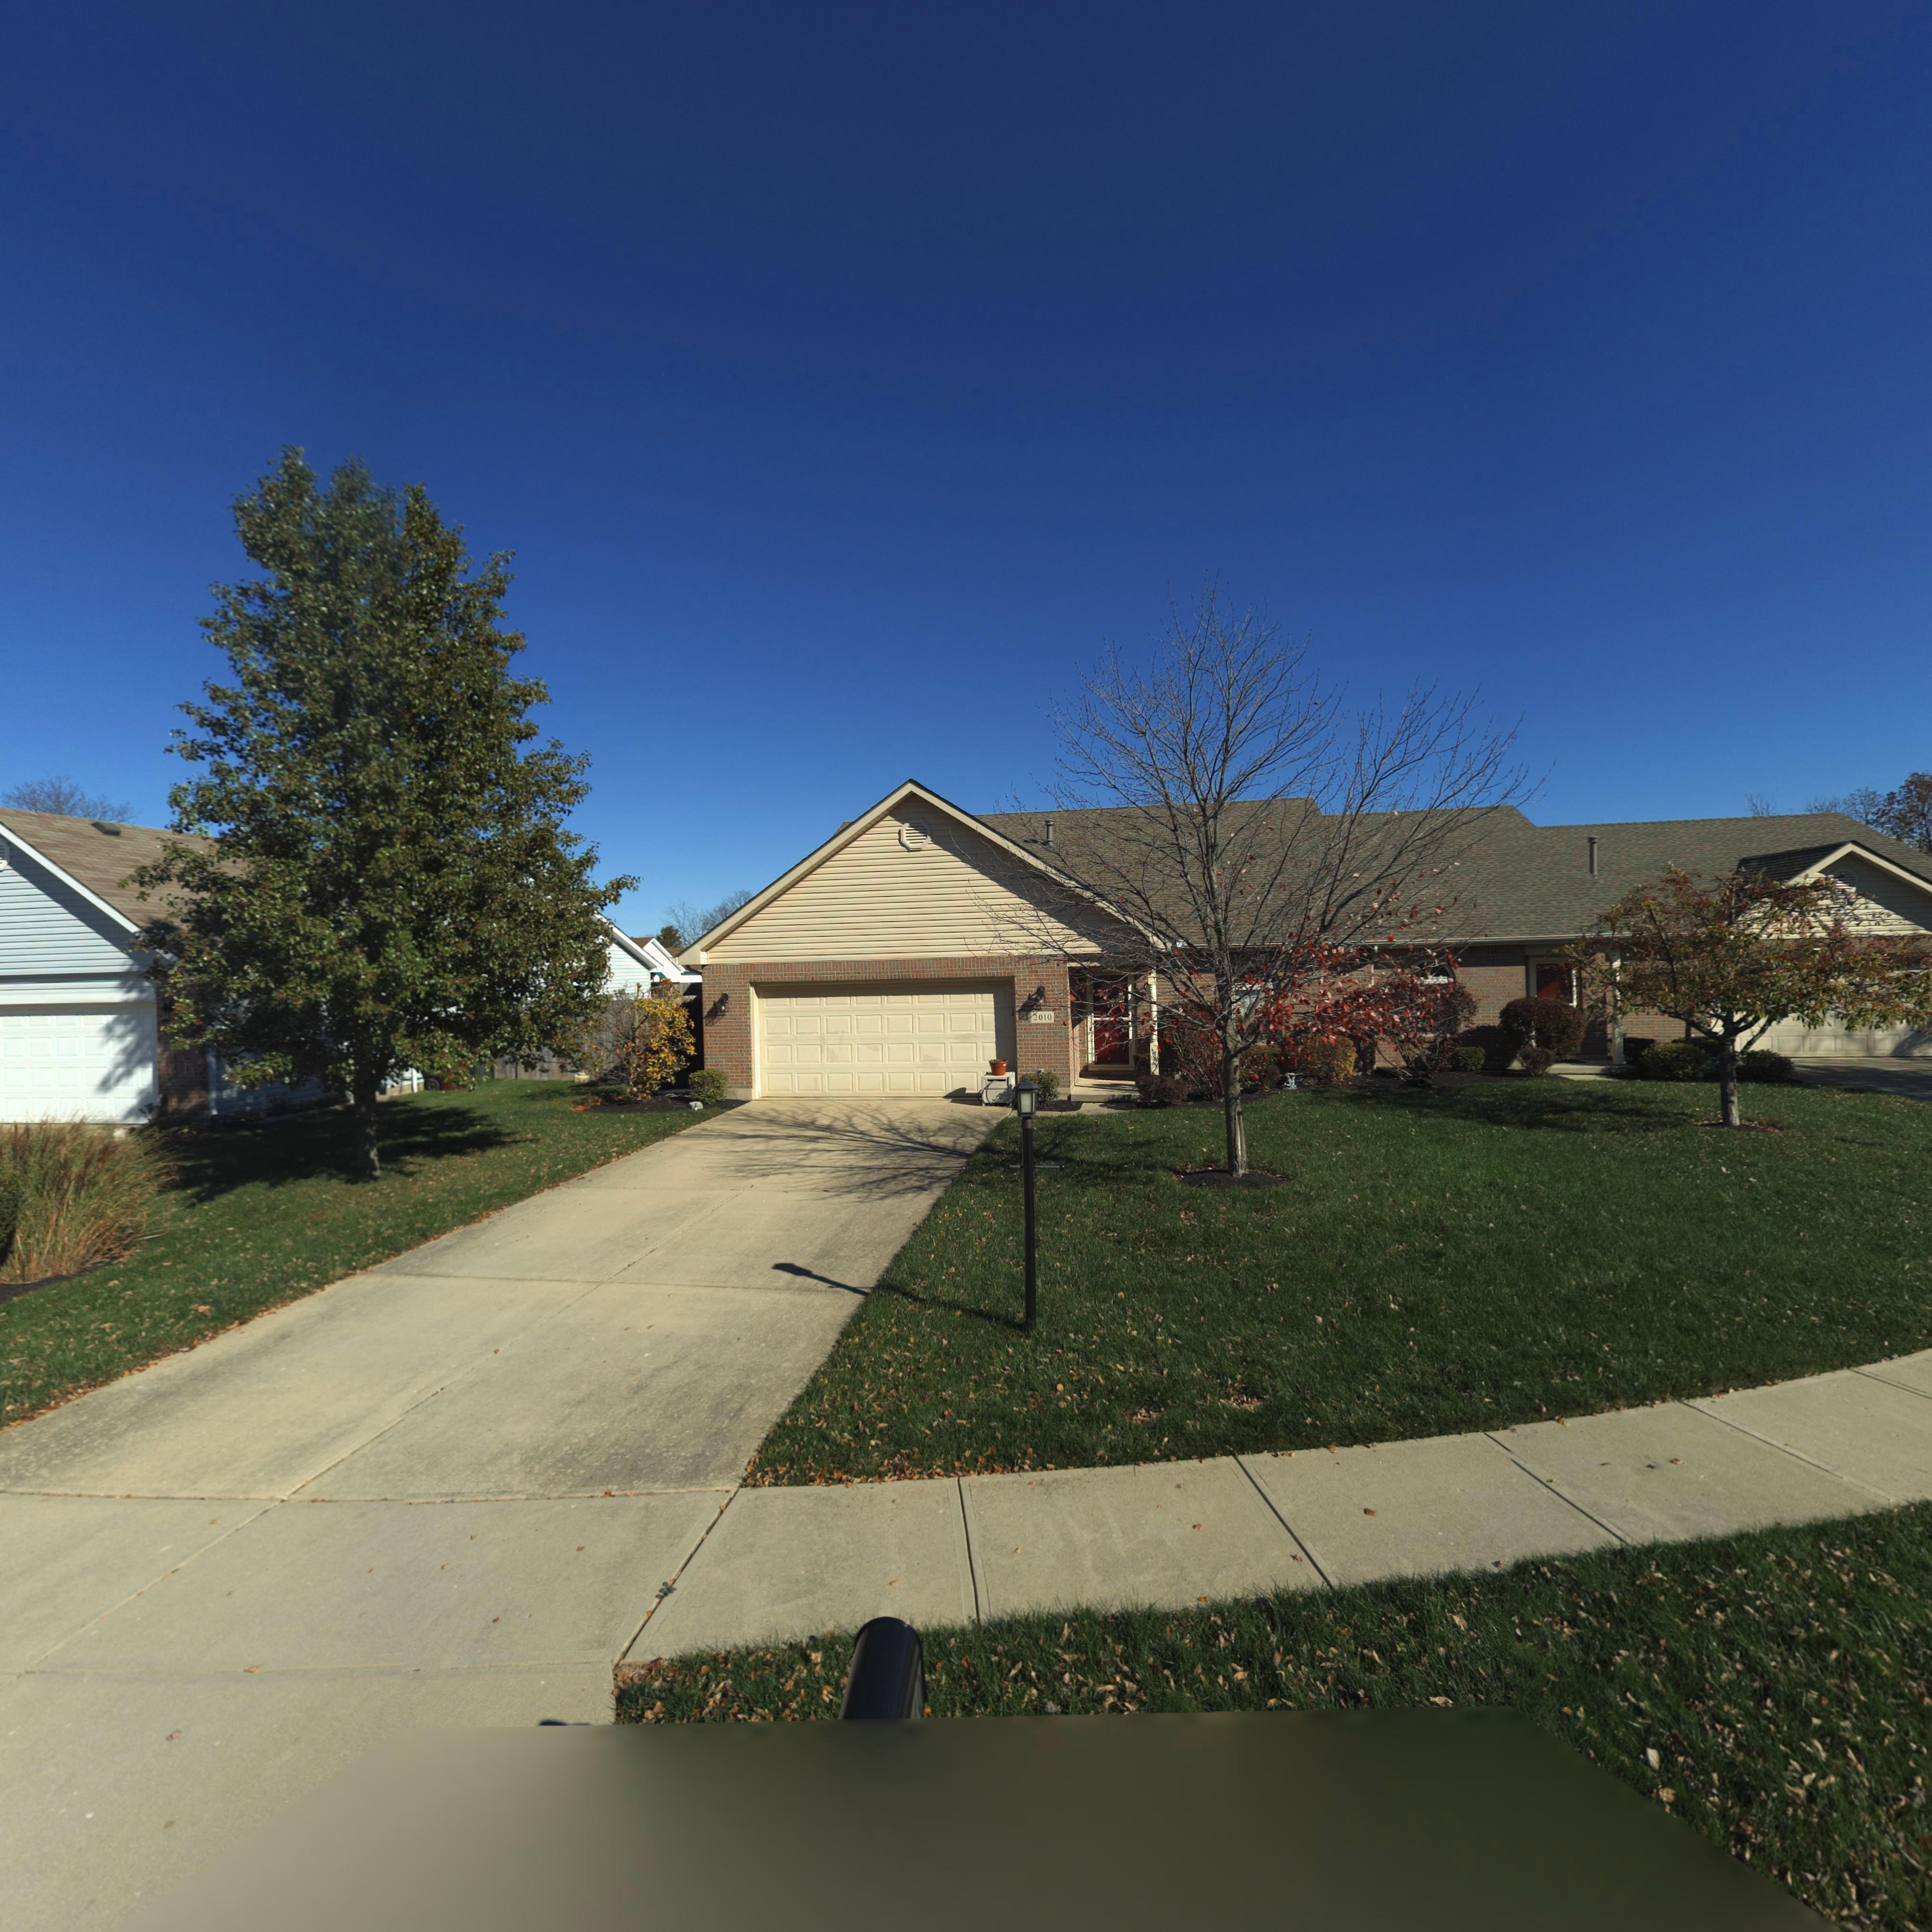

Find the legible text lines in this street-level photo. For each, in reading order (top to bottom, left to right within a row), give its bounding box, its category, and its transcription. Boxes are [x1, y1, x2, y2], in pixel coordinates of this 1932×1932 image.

[1033, 1013, 1053, 1022] StreetNumber: 2010